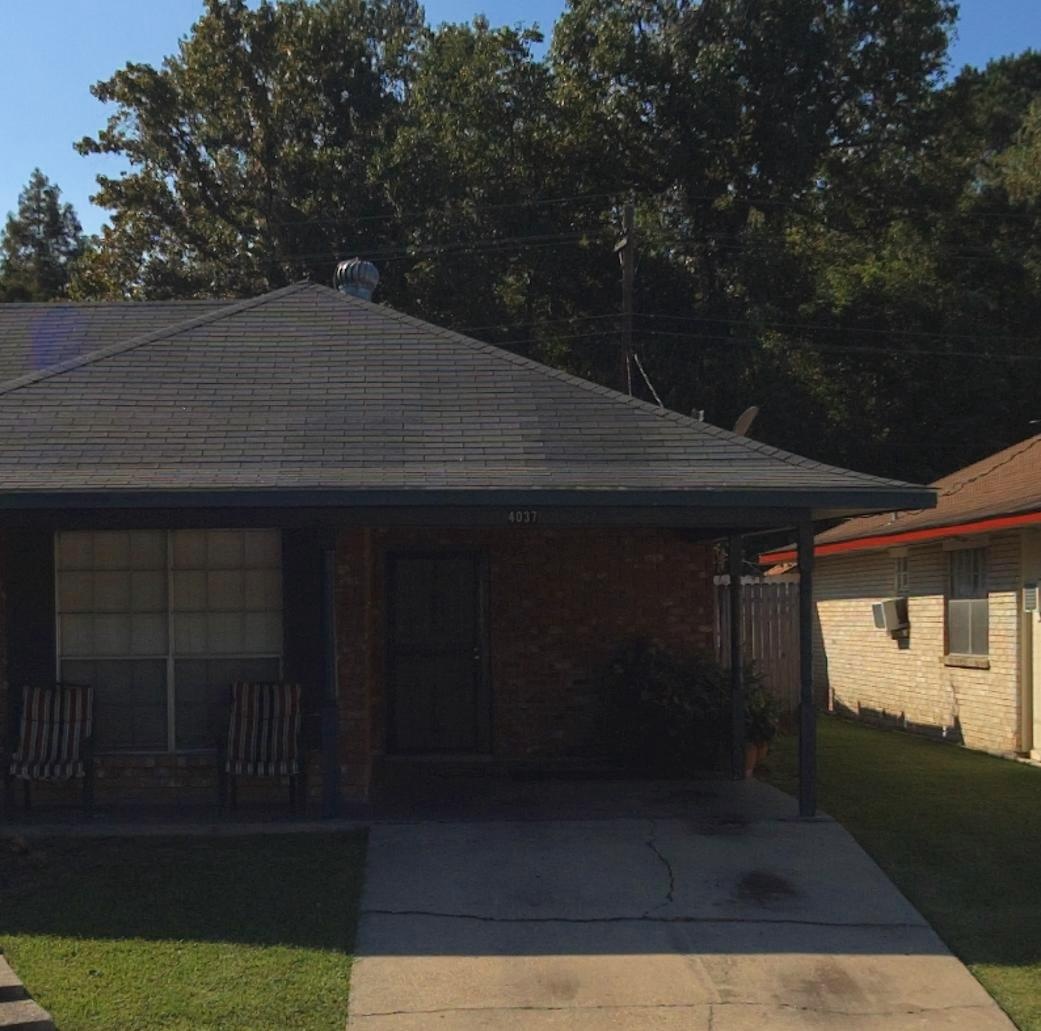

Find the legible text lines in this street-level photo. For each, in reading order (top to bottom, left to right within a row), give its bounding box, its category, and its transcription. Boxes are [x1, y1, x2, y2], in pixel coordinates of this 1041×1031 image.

[507, 510, 537, 524] StreetNumber: 4037